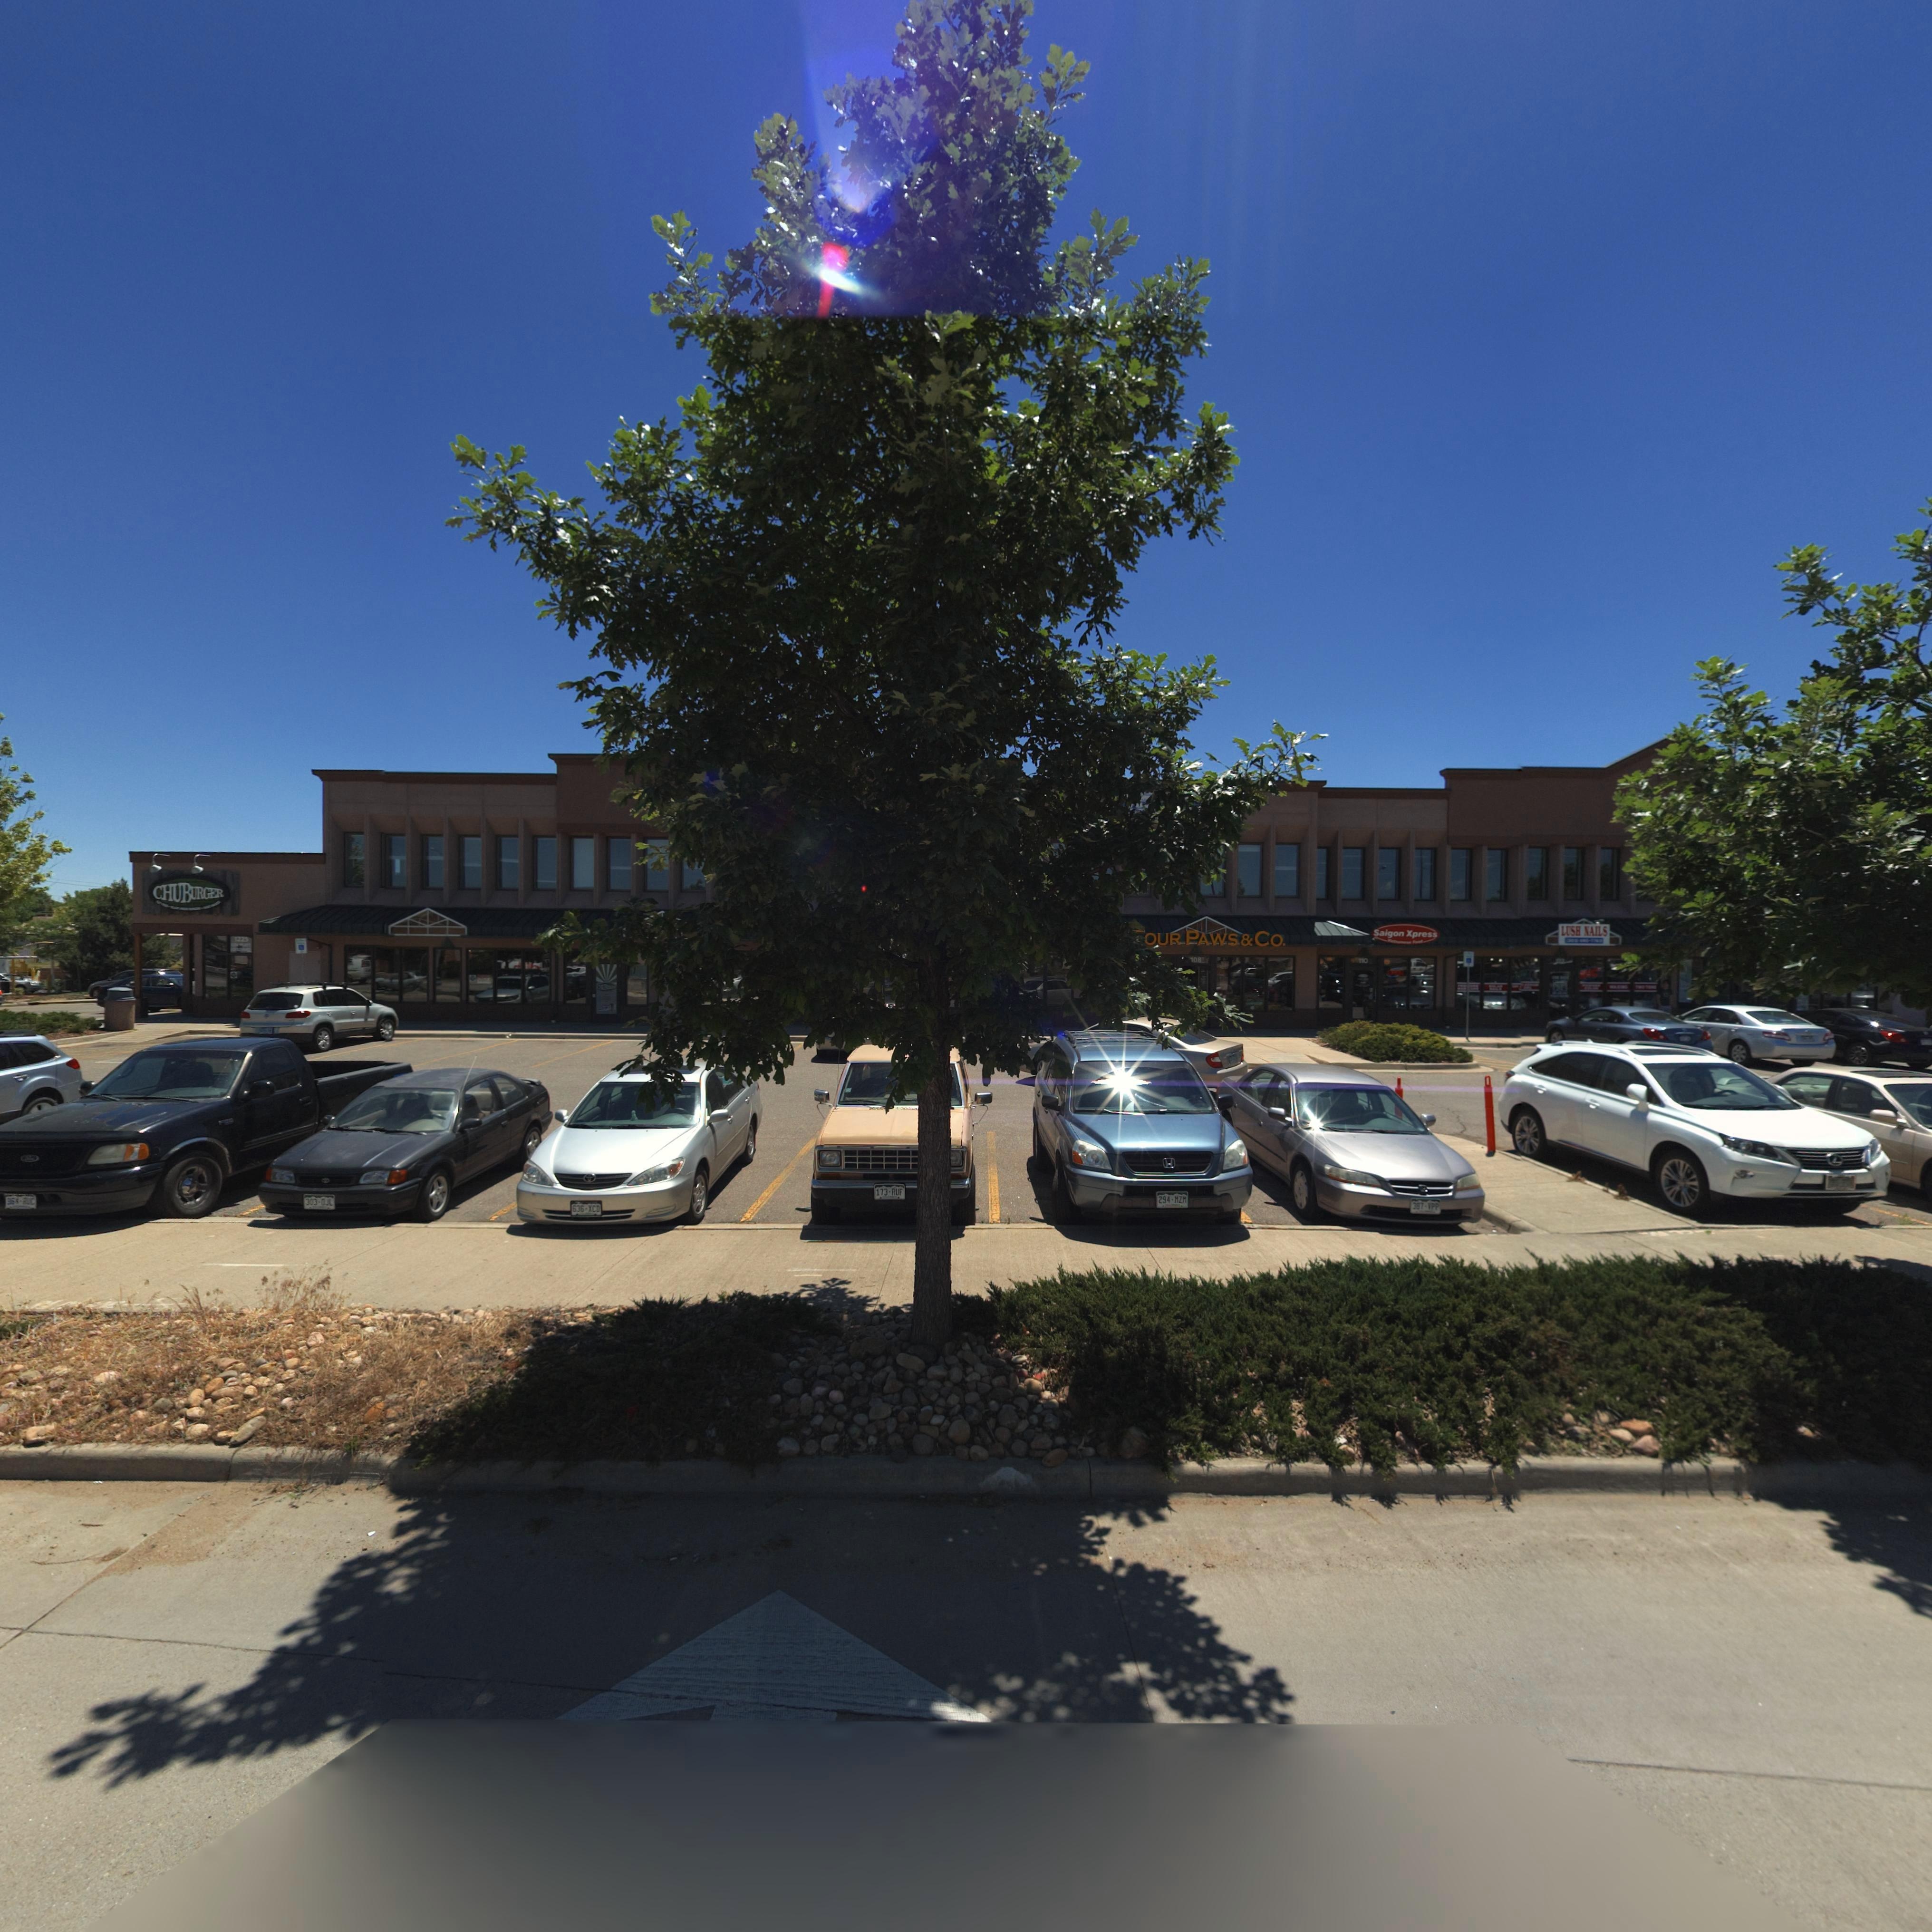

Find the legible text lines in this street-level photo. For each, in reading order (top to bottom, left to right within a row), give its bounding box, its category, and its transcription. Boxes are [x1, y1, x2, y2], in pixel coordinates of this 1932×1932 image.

[152, 881, 224, 903] BusinessName: CHUBURGER
[234, 937, 249, 942] StreetNumber: 1225
[1129, 928, 1283, 947] BusinessName: *OUR PAWS*CO
[1372, 928, 1438, 939] BusinessName: Saigon Xpress
[1560, 925, 1608, 937] BusinessName: LUSH NAILS
[1358, 957, 1368, 964] StreetNumber: 110